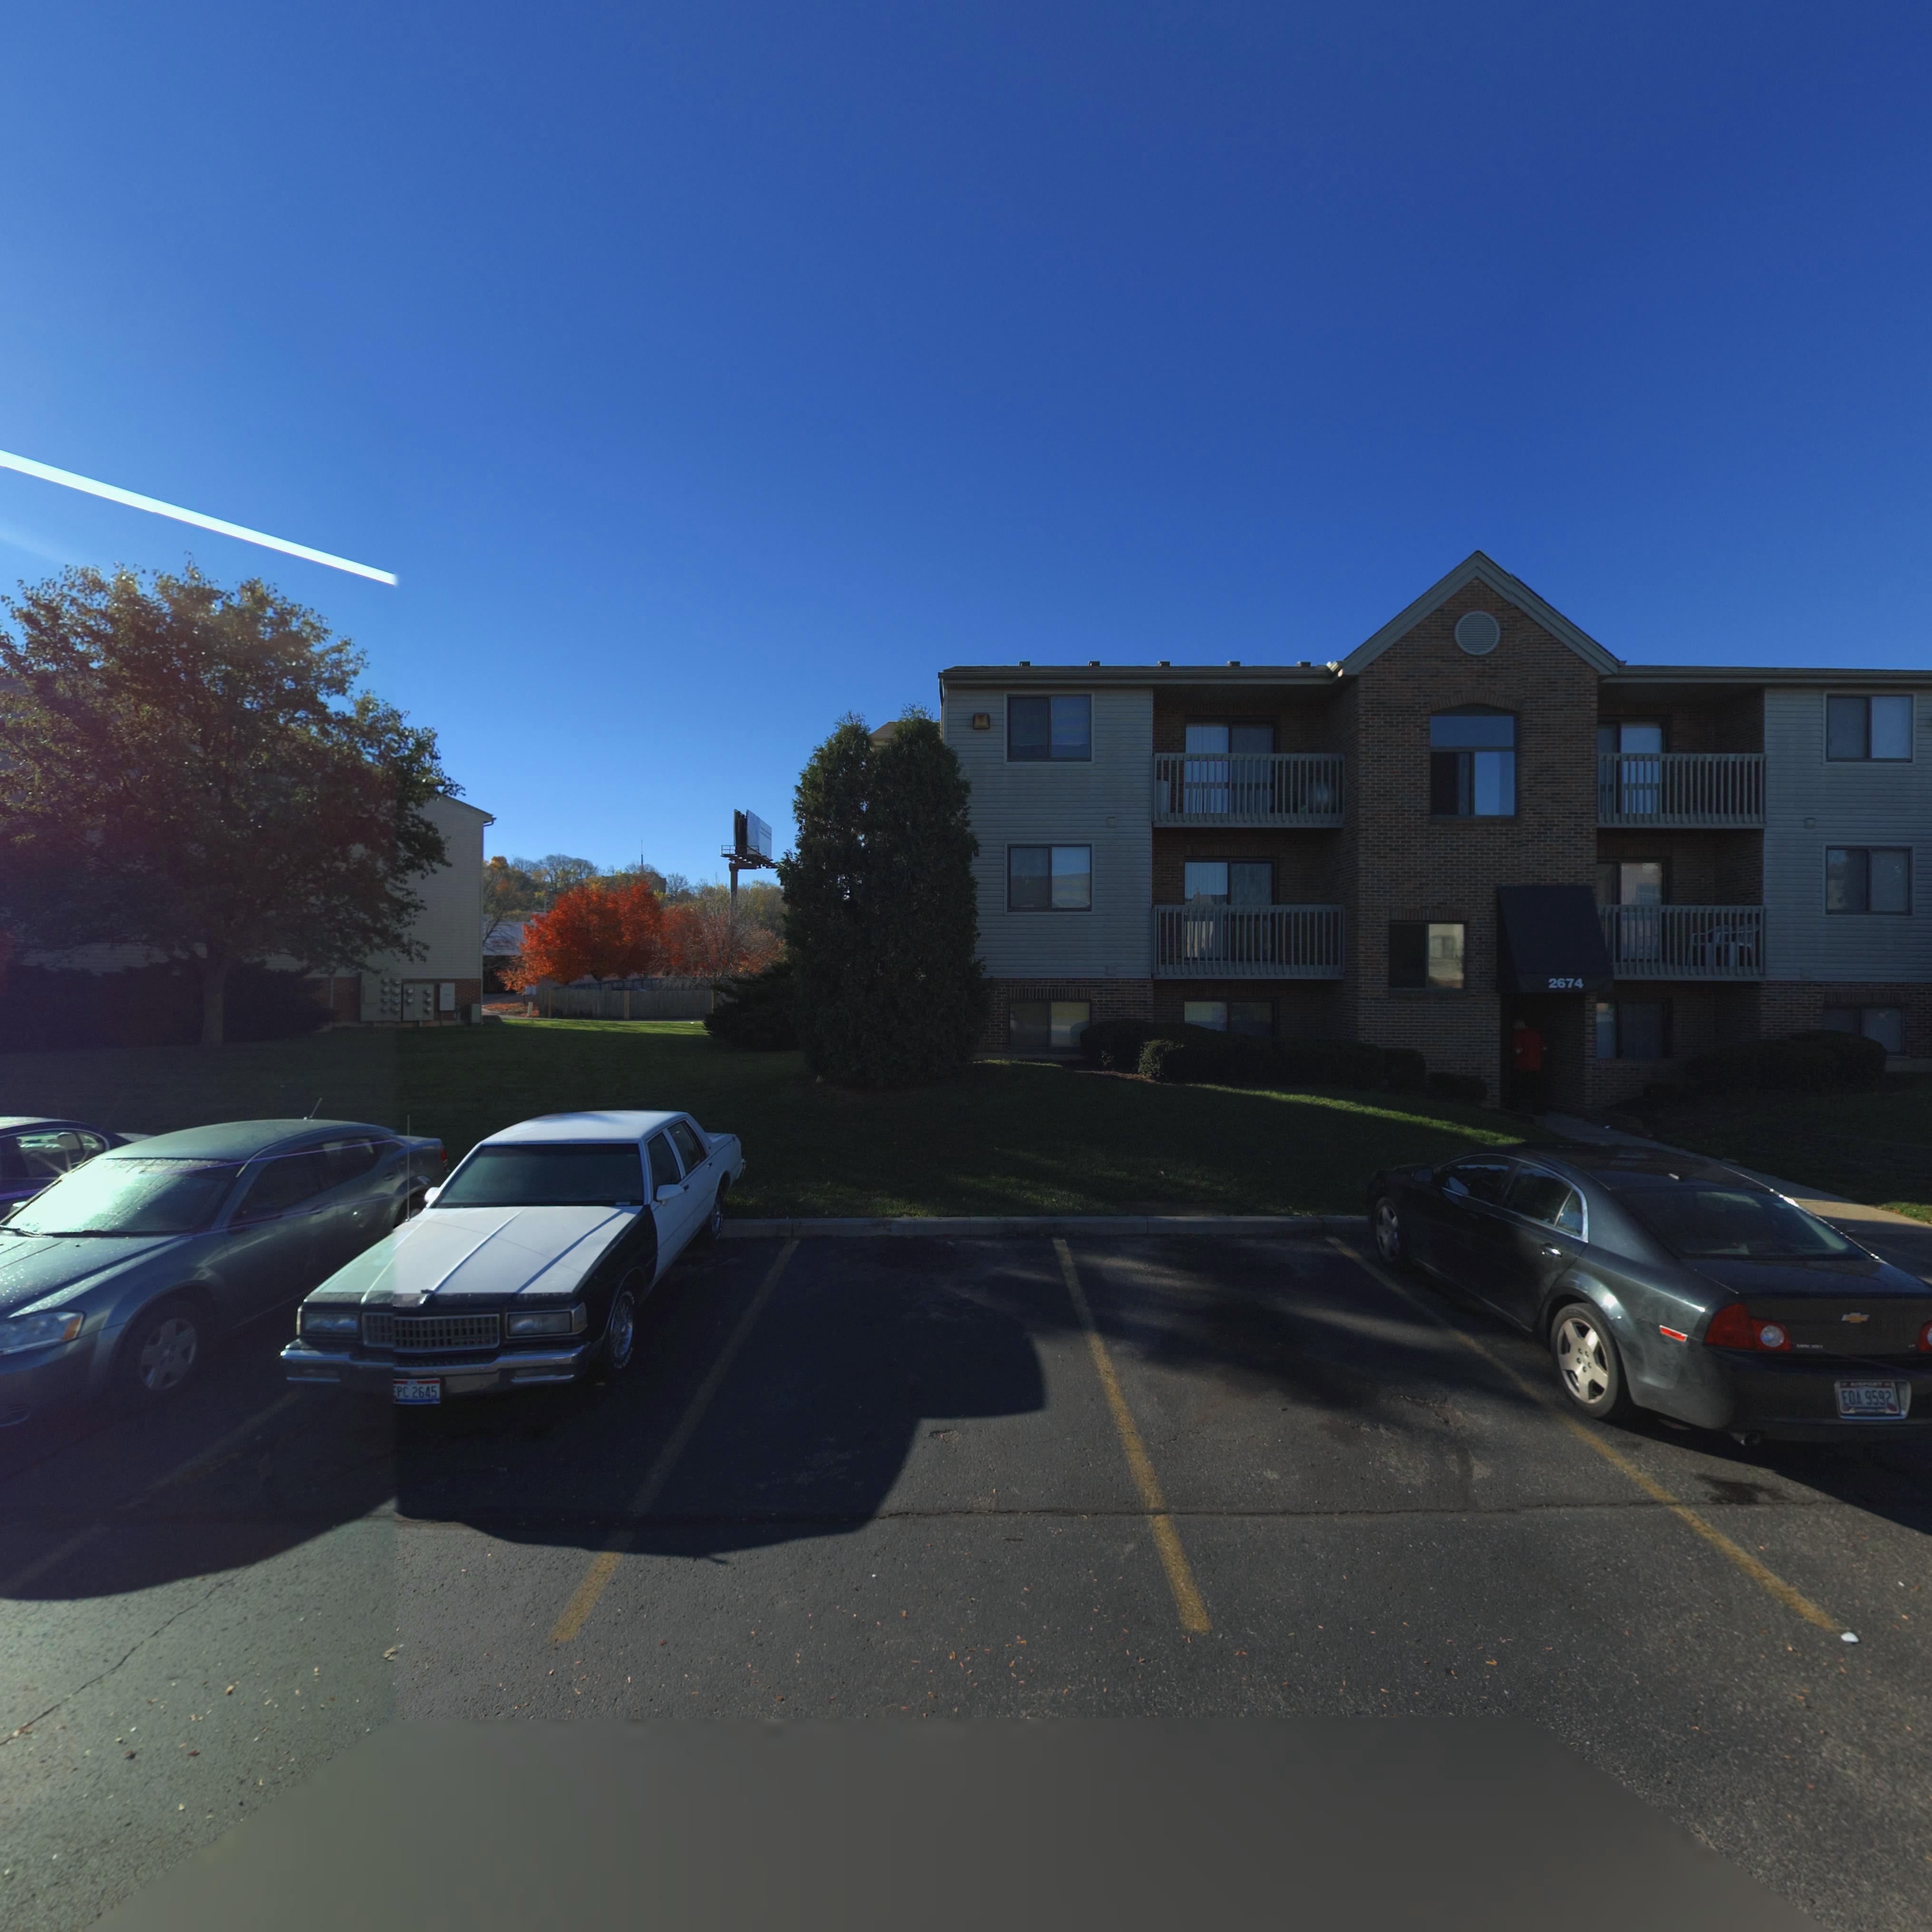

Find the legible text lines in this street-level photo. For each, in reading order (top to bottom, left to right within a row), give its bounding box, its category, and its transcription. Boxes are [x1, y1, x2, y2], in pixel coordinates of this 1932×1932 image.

[1548, 977, 1584, 989] StreetNumber: 2674